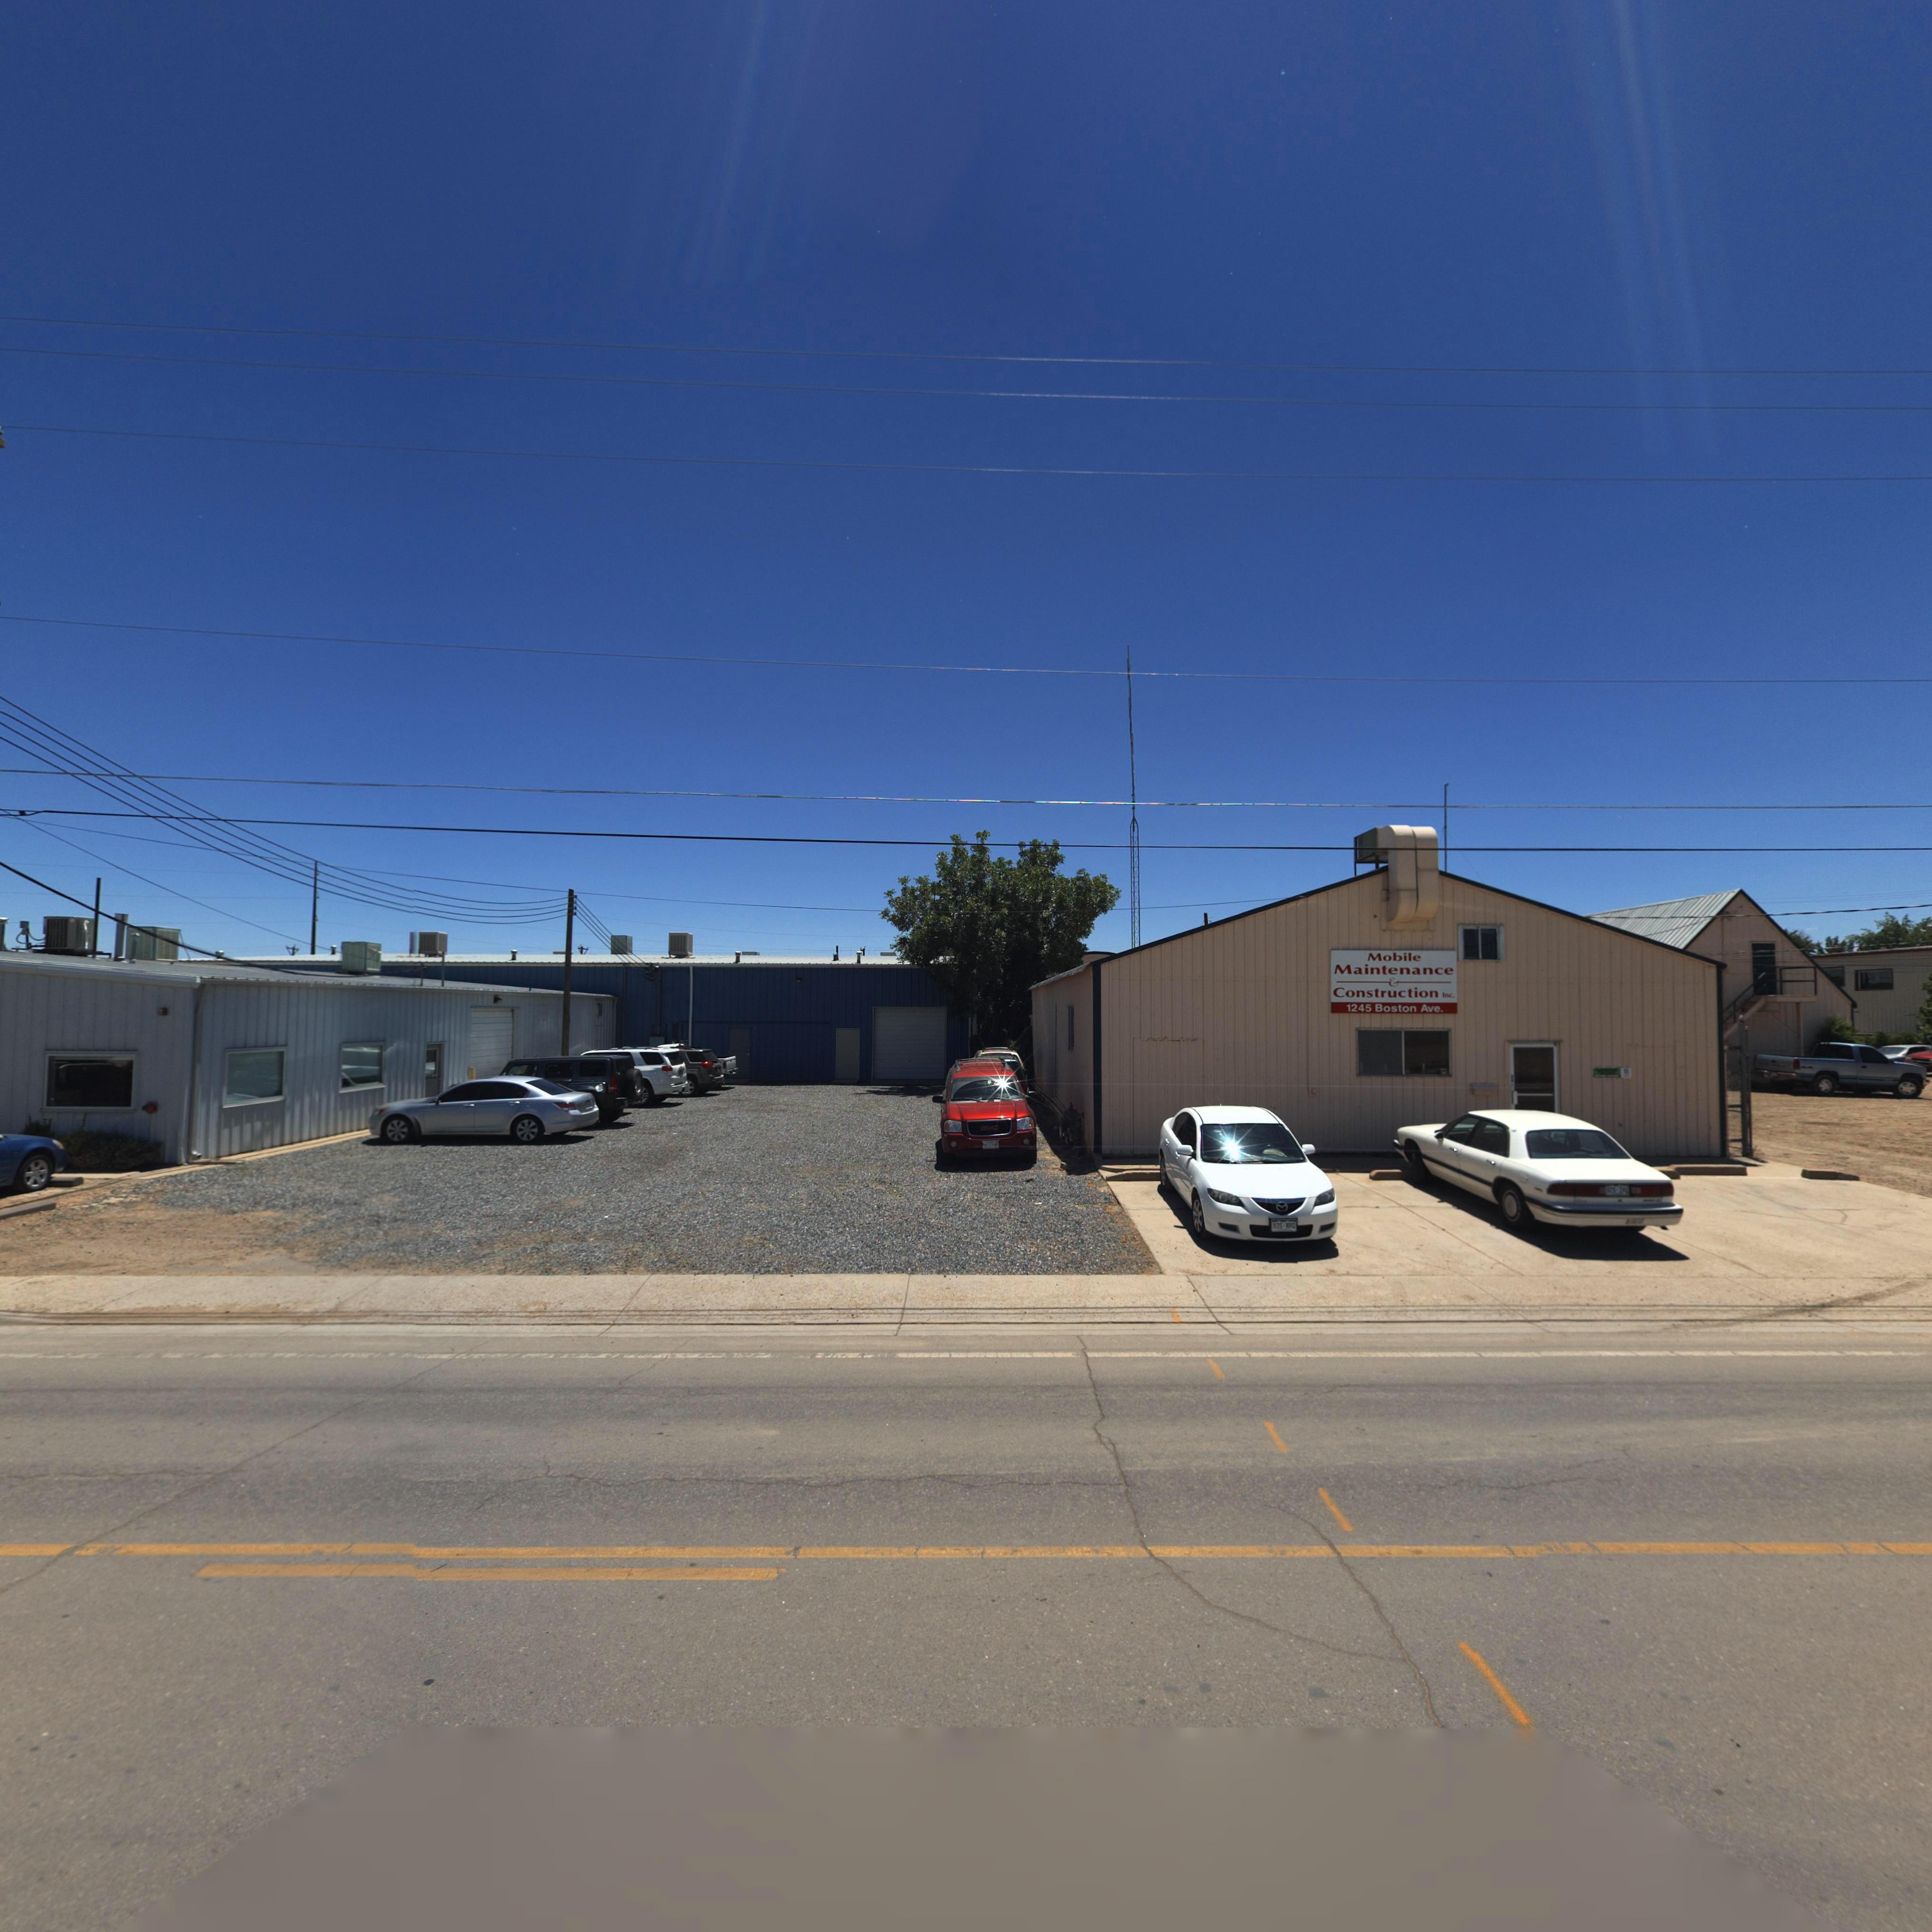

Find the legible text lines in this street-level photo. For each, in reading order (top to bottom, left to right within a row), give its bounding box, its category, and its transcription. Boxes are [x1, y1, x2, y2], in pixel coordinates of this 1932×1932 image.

[1367, 952, 1421, 961] BusinessName: Mobile
[1333, 964, 1454, 975] BusinessName: Maintenance
[1333, 986, 1455, 998] BusinessName: Construction Inc.
[1345, 1004, 1372, 1012] StreetNumber: 1245
[1374, 1003, 1444, 1013] StreetName: Boston Ave.